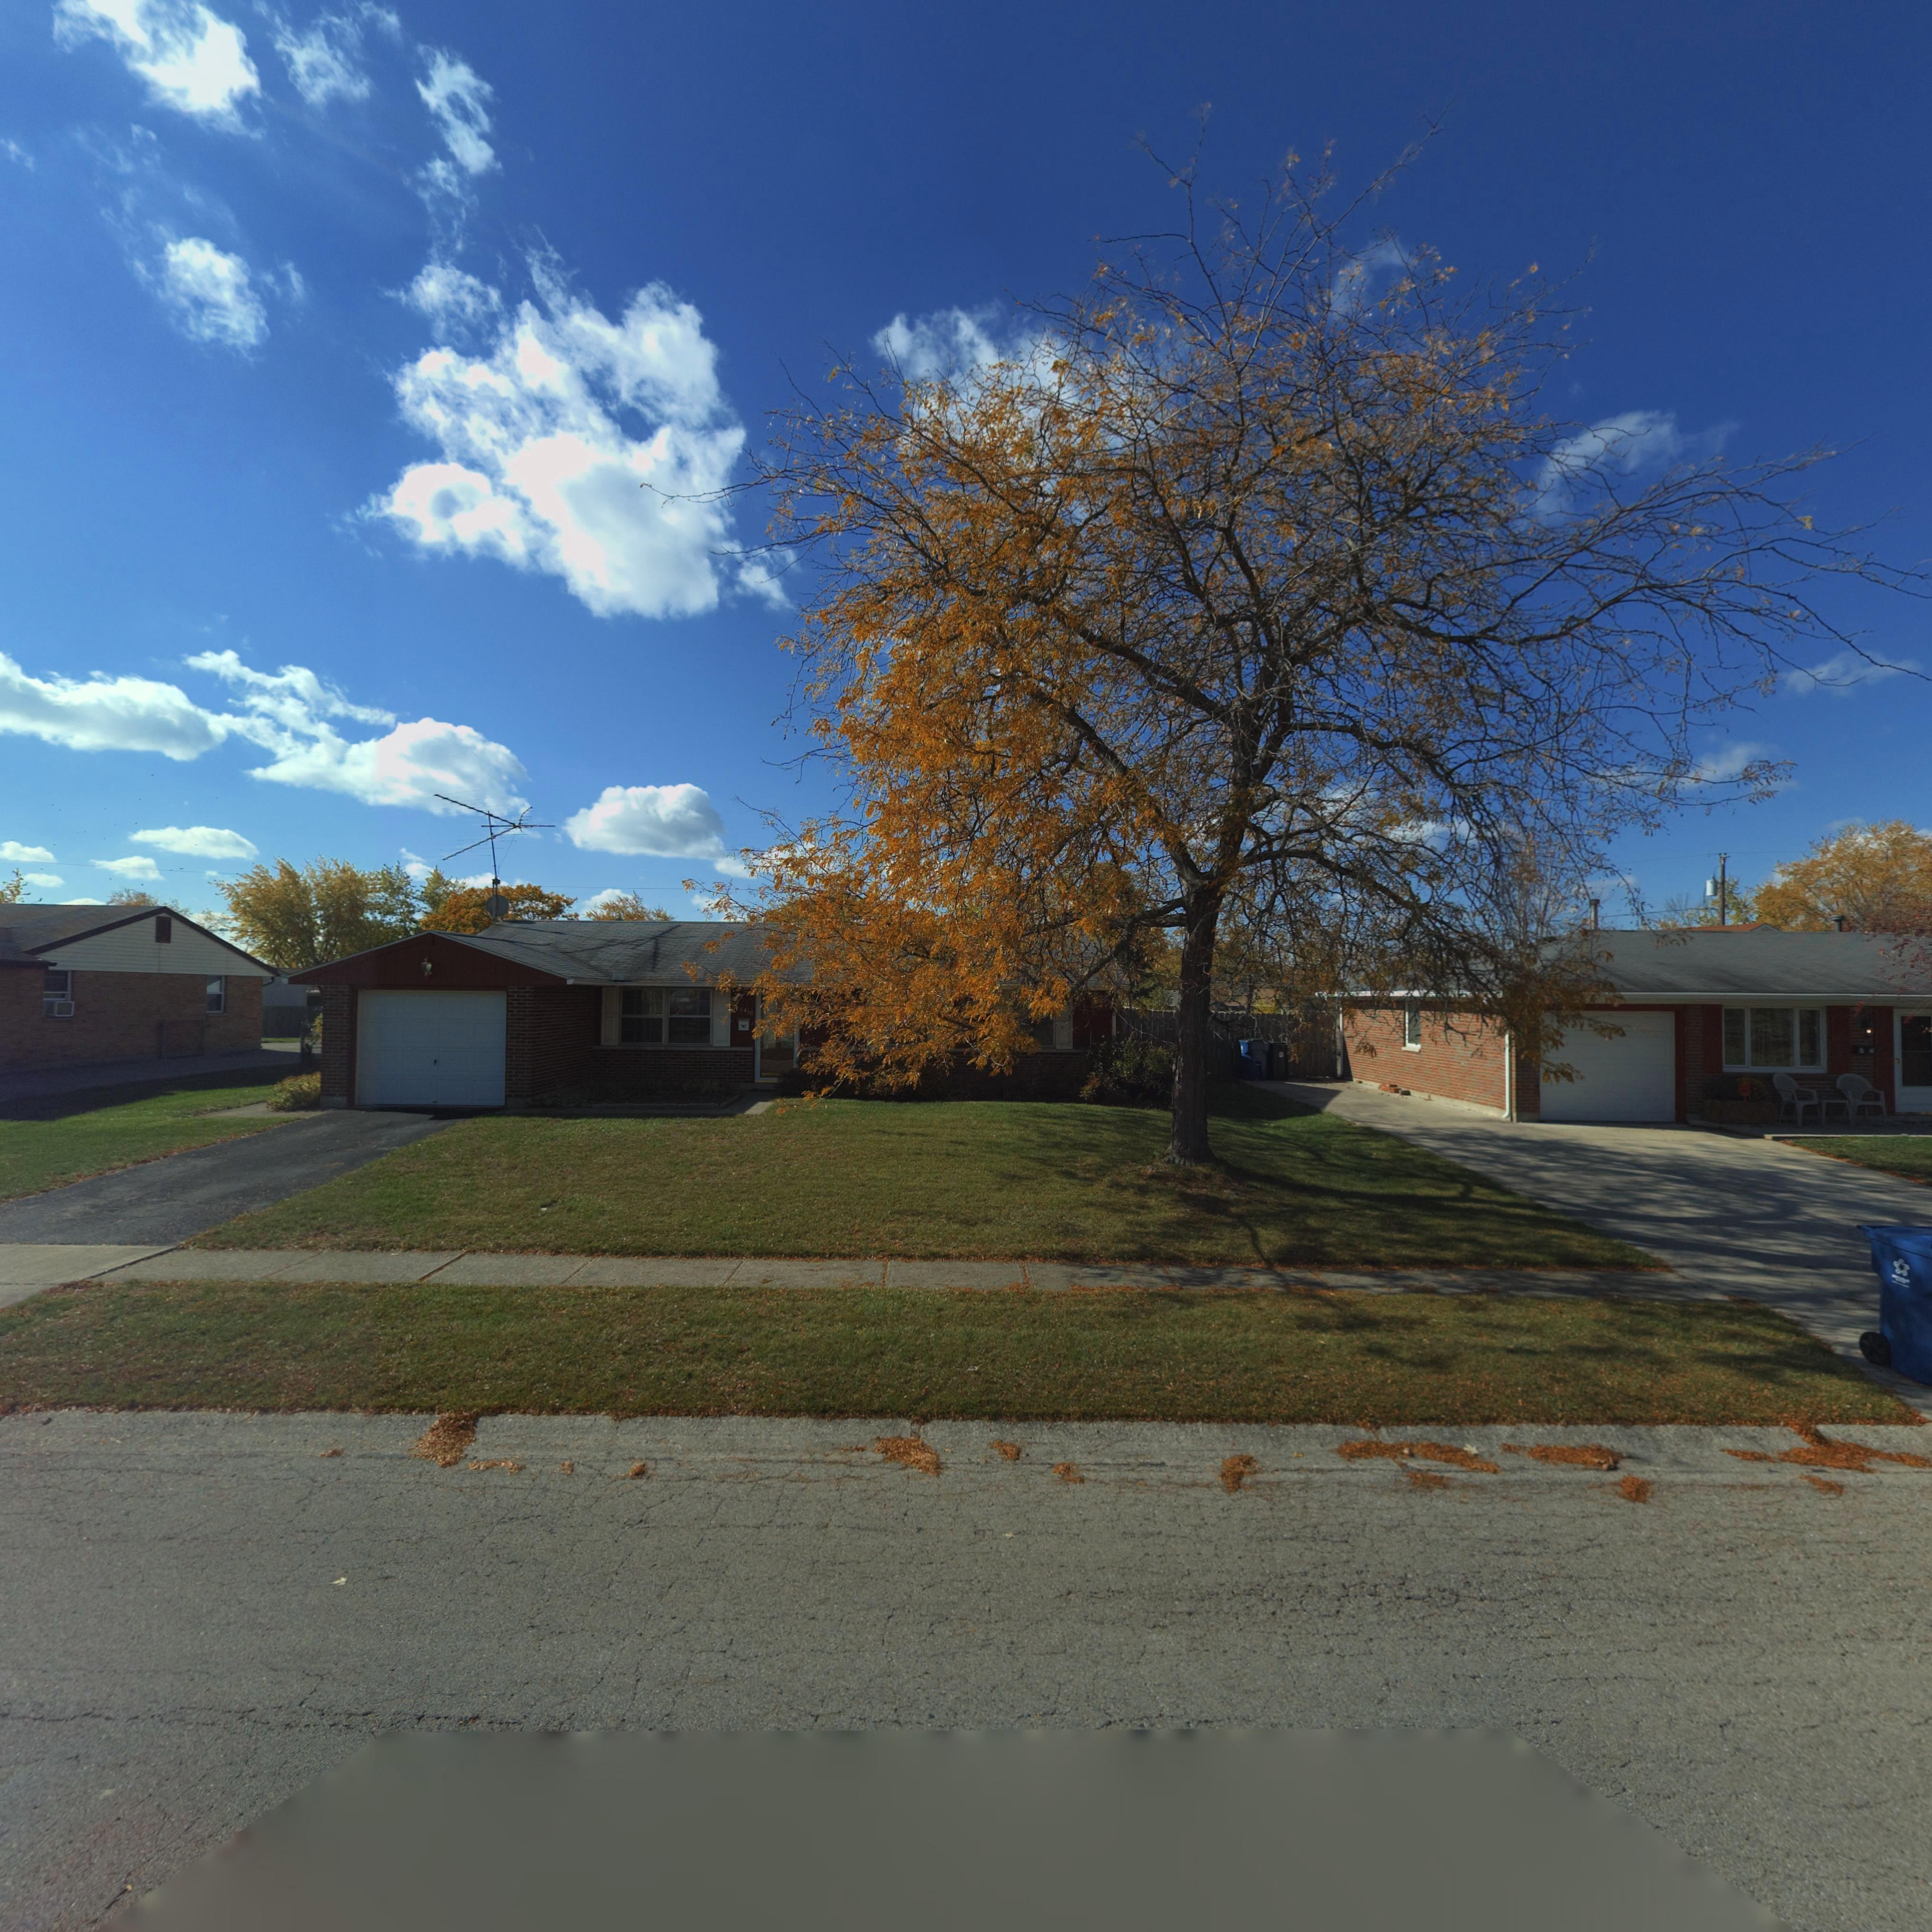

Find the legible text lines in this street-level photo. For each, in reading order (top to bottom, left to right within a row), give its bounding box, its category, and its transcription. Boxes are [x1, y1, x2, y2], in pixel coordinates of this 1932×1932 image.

[739, 1006, 754, 1016] StreetNumber: 6430